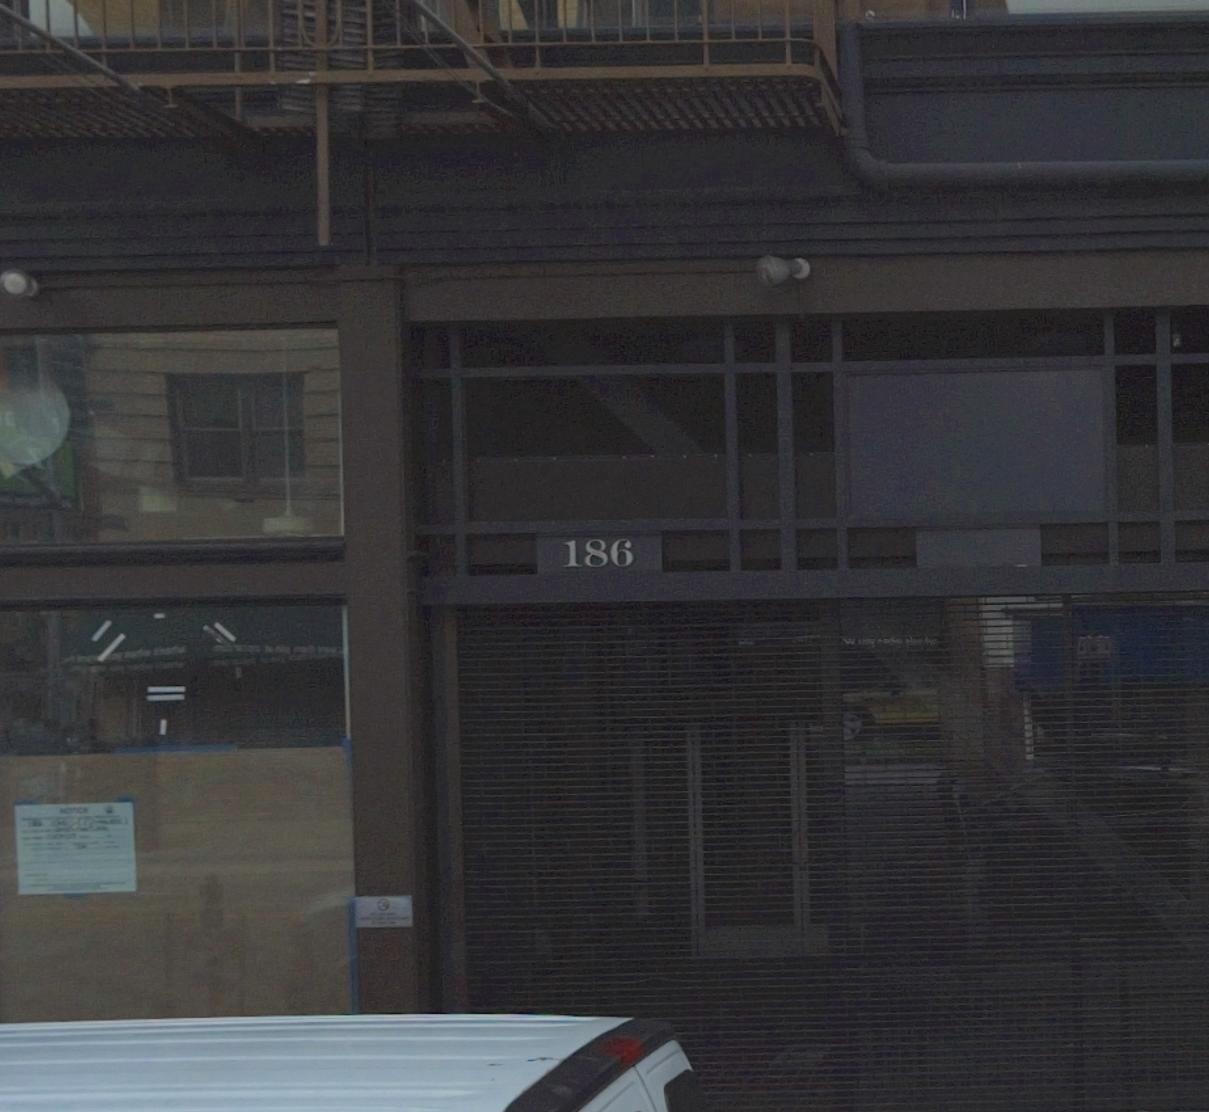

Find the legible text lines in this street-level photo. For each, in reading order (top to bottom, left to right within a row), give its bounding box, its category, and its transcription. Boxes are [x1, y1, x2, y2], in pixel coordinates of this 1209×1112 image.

[559, 536, 637, 571] StreetNumber: 186